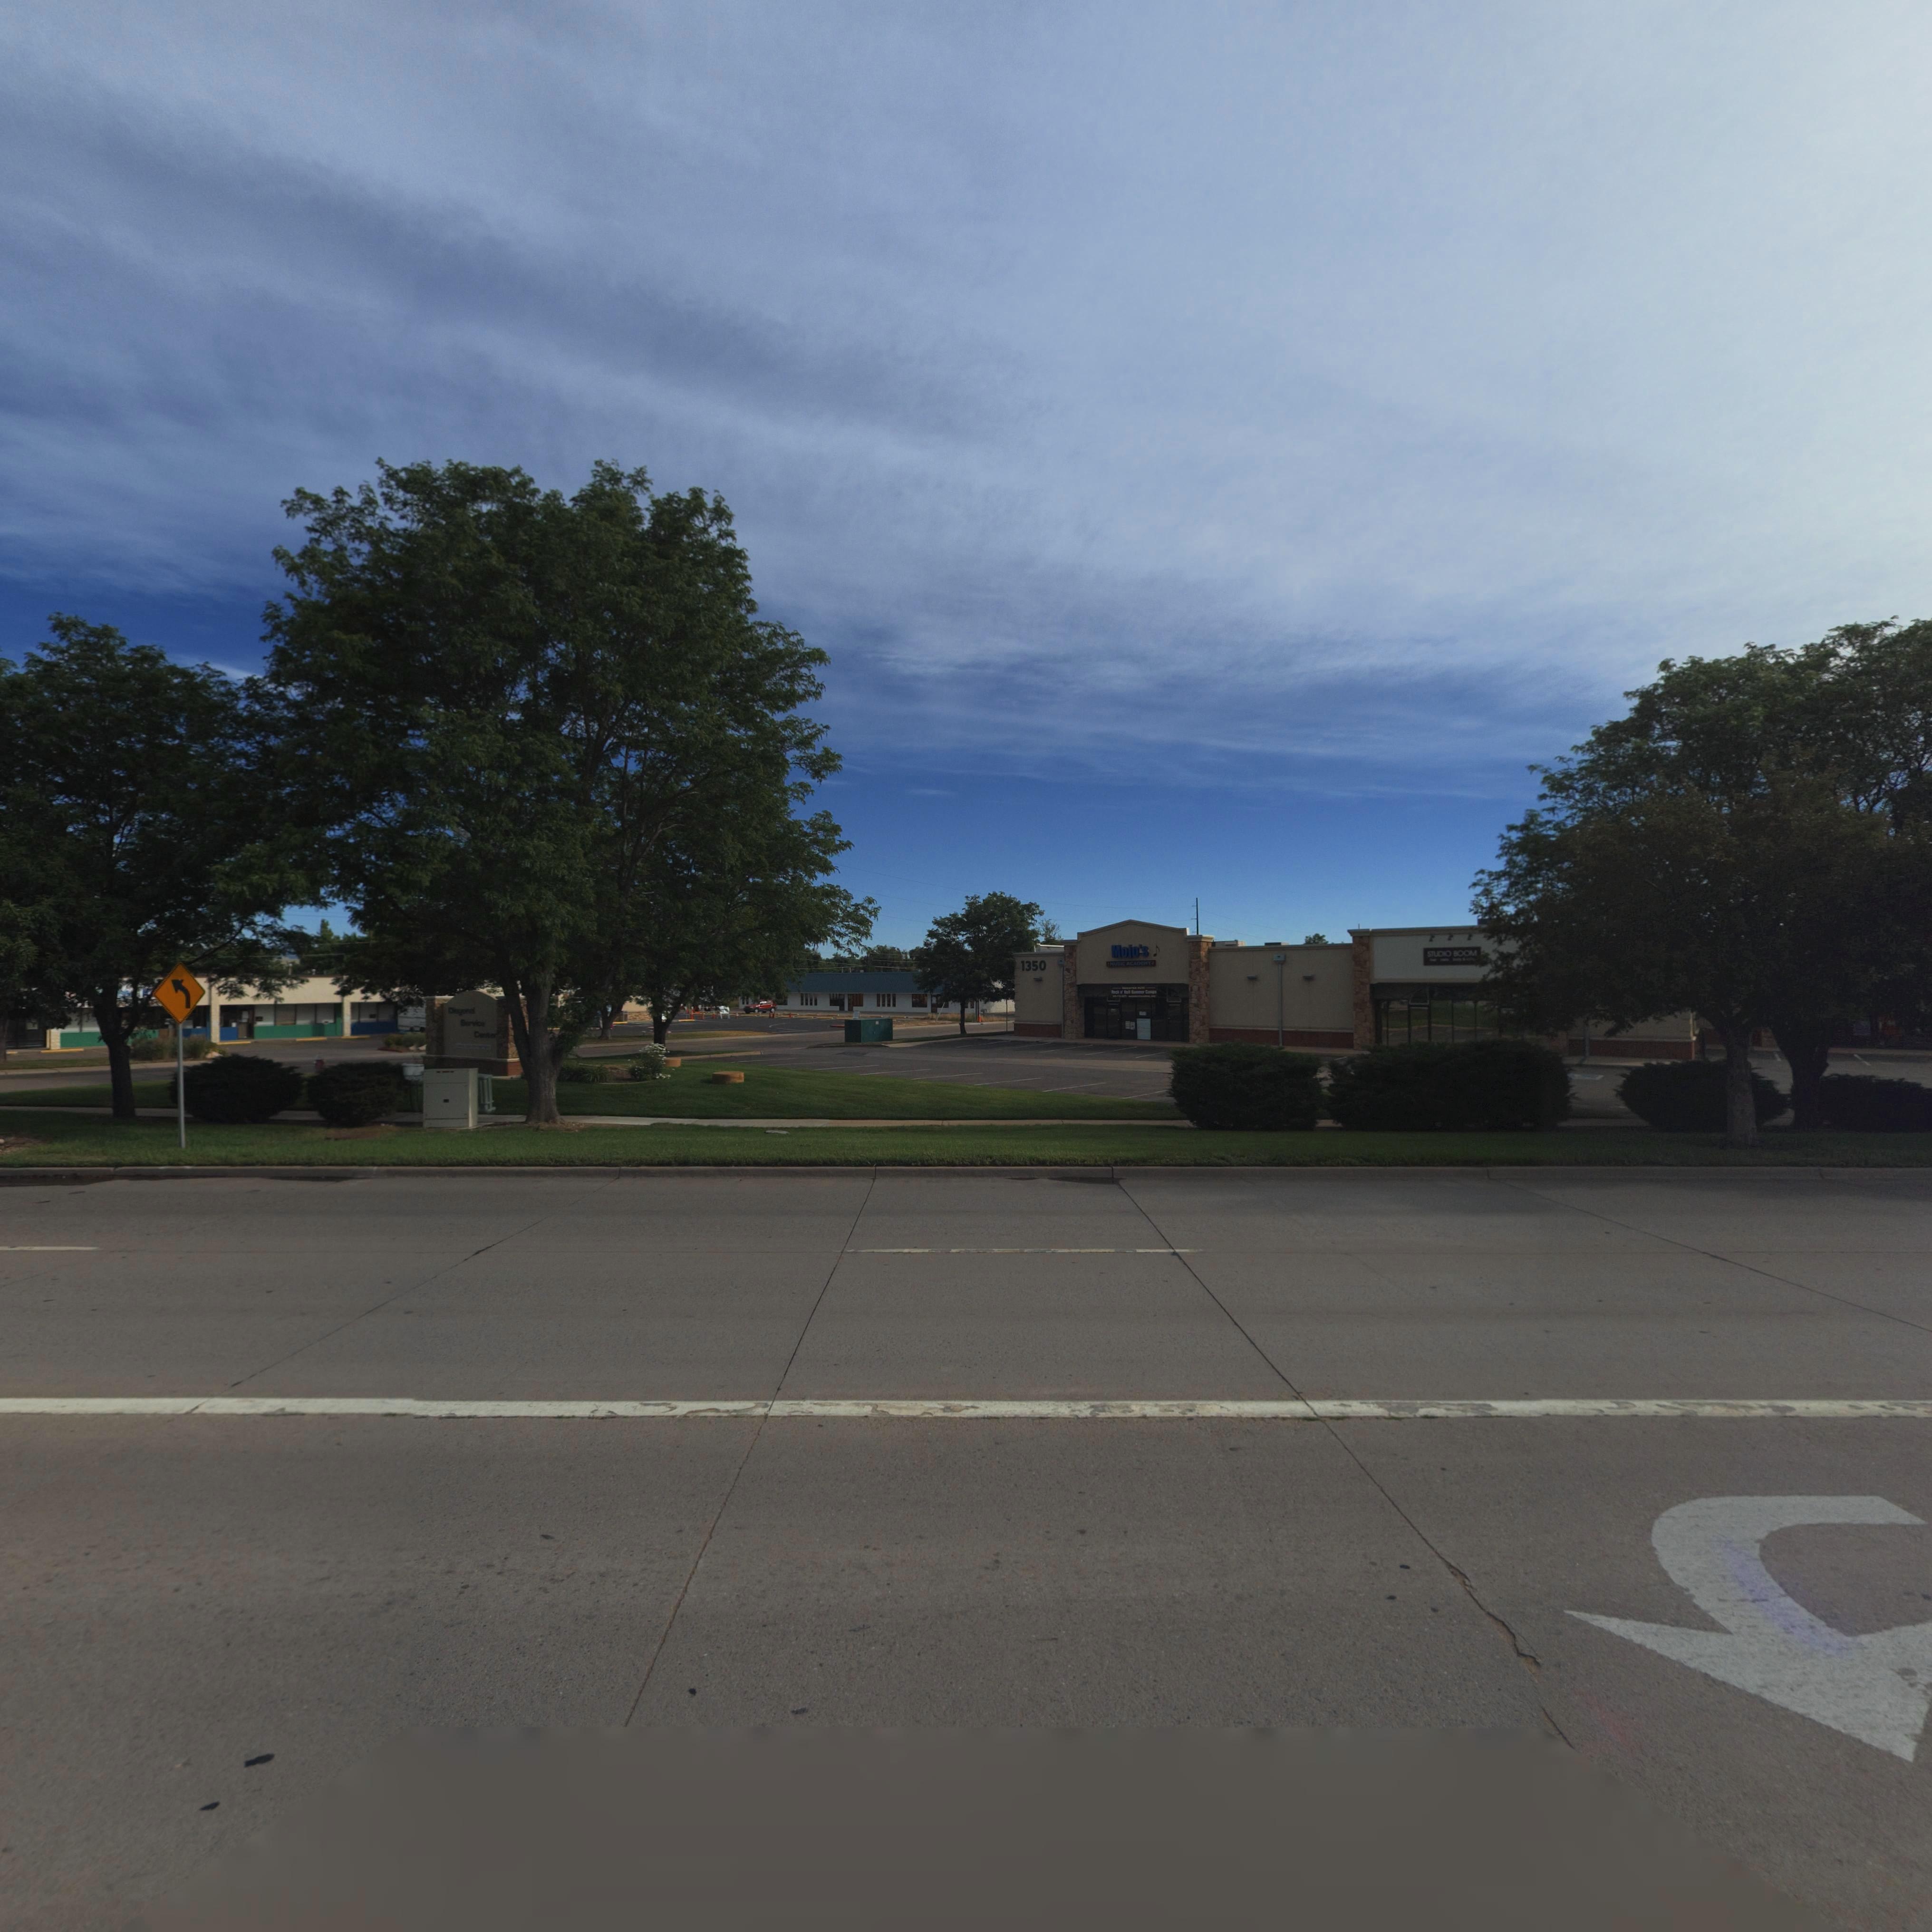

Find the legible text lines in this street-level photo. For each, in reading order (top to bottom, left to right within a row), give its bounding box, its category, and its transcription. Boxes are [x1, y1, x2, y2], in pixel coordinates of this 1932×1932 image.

[1111, 943, 1150, 959] BusinessName: Mojo's
[1427, 949, 1477, 957] BusinessName: STUDIO BOOM
[1020, 959, 1047, 971] StreetNumber: 1350